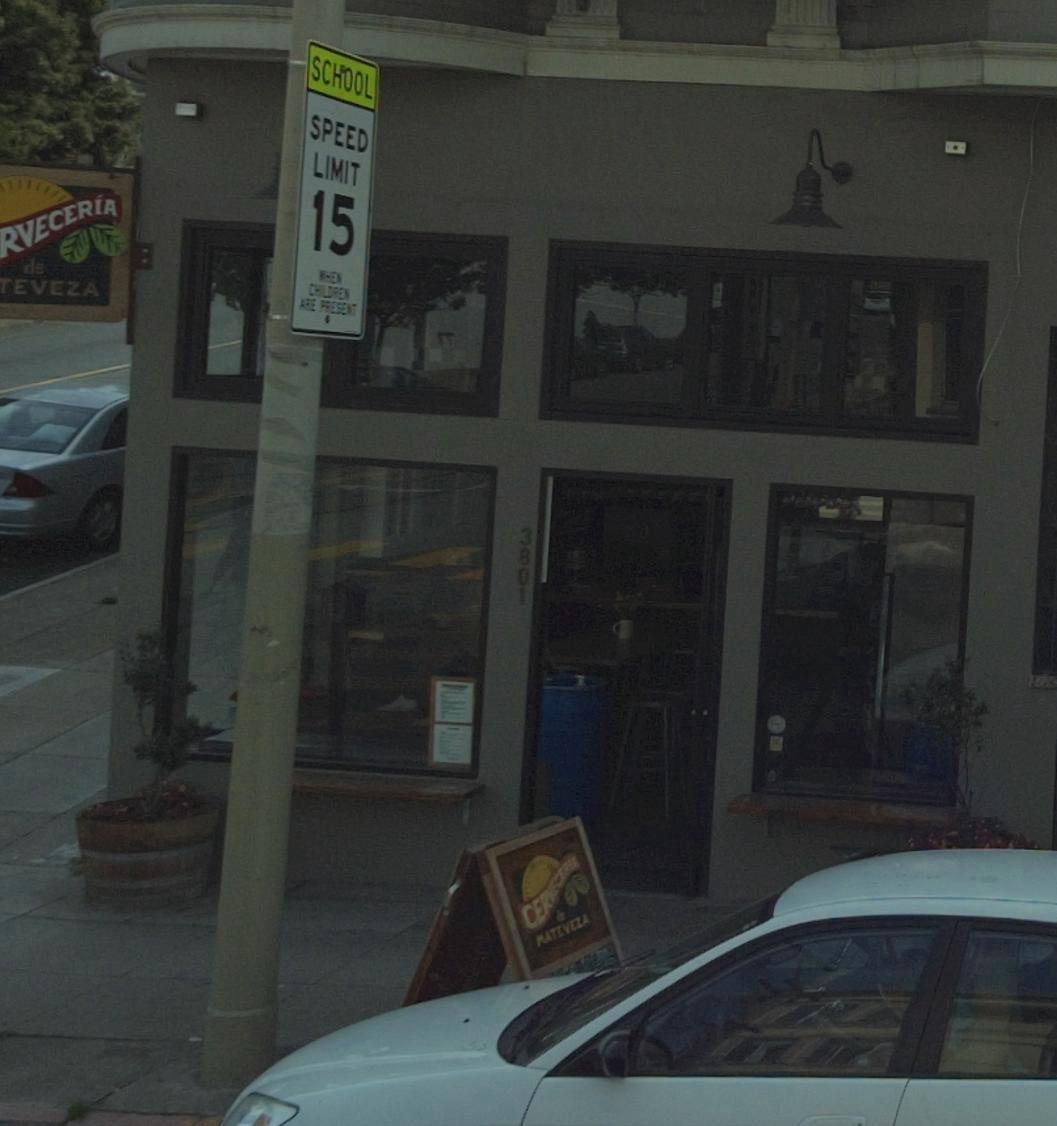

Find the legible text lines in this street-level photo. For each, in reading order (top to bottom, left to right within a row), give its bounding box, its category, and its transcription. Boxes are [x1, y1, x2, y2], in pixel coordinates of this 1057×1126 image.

[311, 52, 373, 101] None: SCHOOL
[308, 110, 370, 155] None: SPEED
[311, 150, 363, 189] None: LIMIT
[0, 192, 118, 264] BusinessName: RVECERIA
[310, 185, 356, 257] None: 15
[21, 257, 46, 276] None: de
[13, 277, 102, 298] None: EVEZA
[298, 297, 358, 317] None: ARE PRESENT
[307, 282, 352, 301] None: CHILDREN
[317, 267, 343, 284] None: WHEN
[515, 527, 532, 607] StreetNumber: 3801
[518, 894, 550, 933] None: CE
[533, 911, 594, 948] None: MATEVEZA